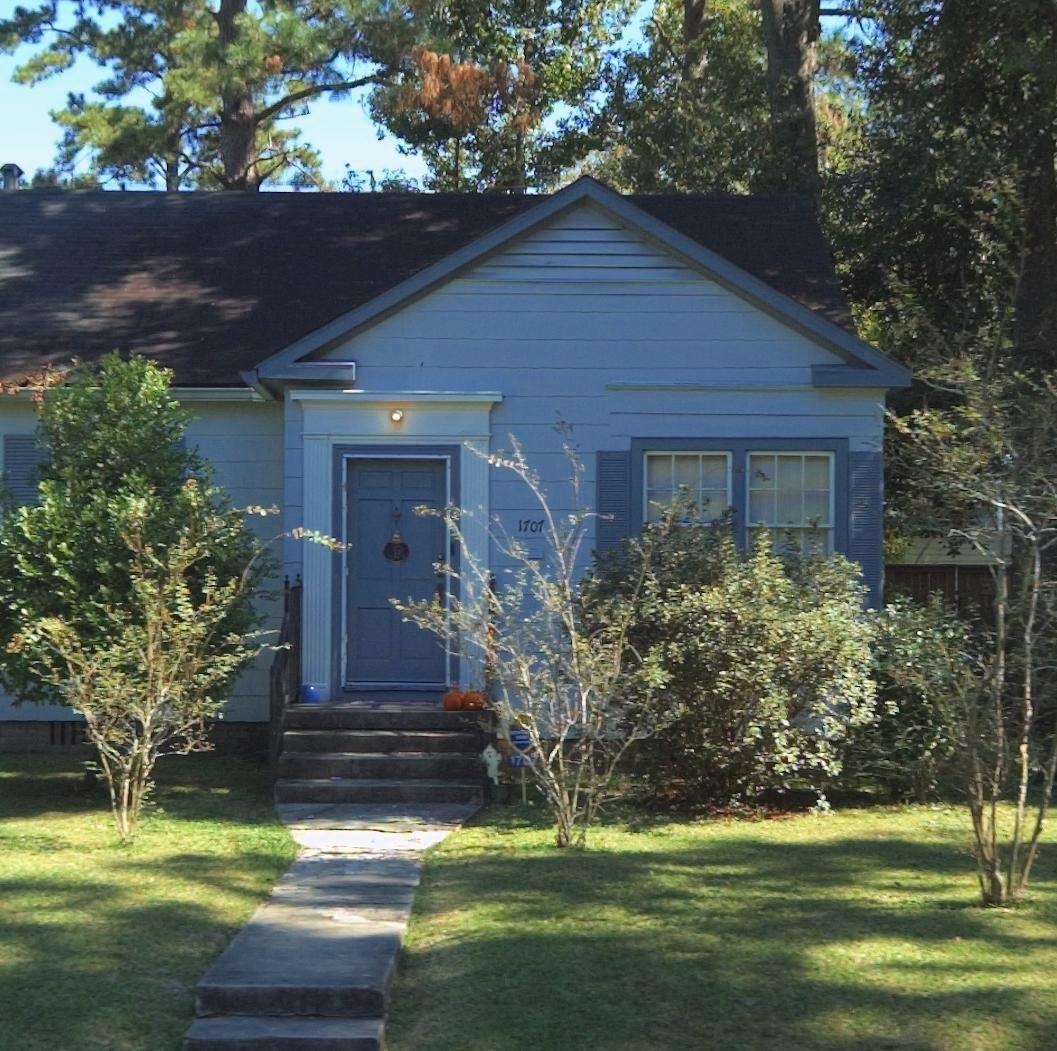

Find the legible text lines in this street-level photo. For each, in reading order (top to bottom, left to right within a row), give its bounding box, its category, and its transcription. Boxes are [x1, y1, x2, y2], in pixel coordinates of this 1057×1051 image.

[516, 517, 548, 534] StreetNumber: 1707
[513, 754, 524, 769] StreetNumber: 7